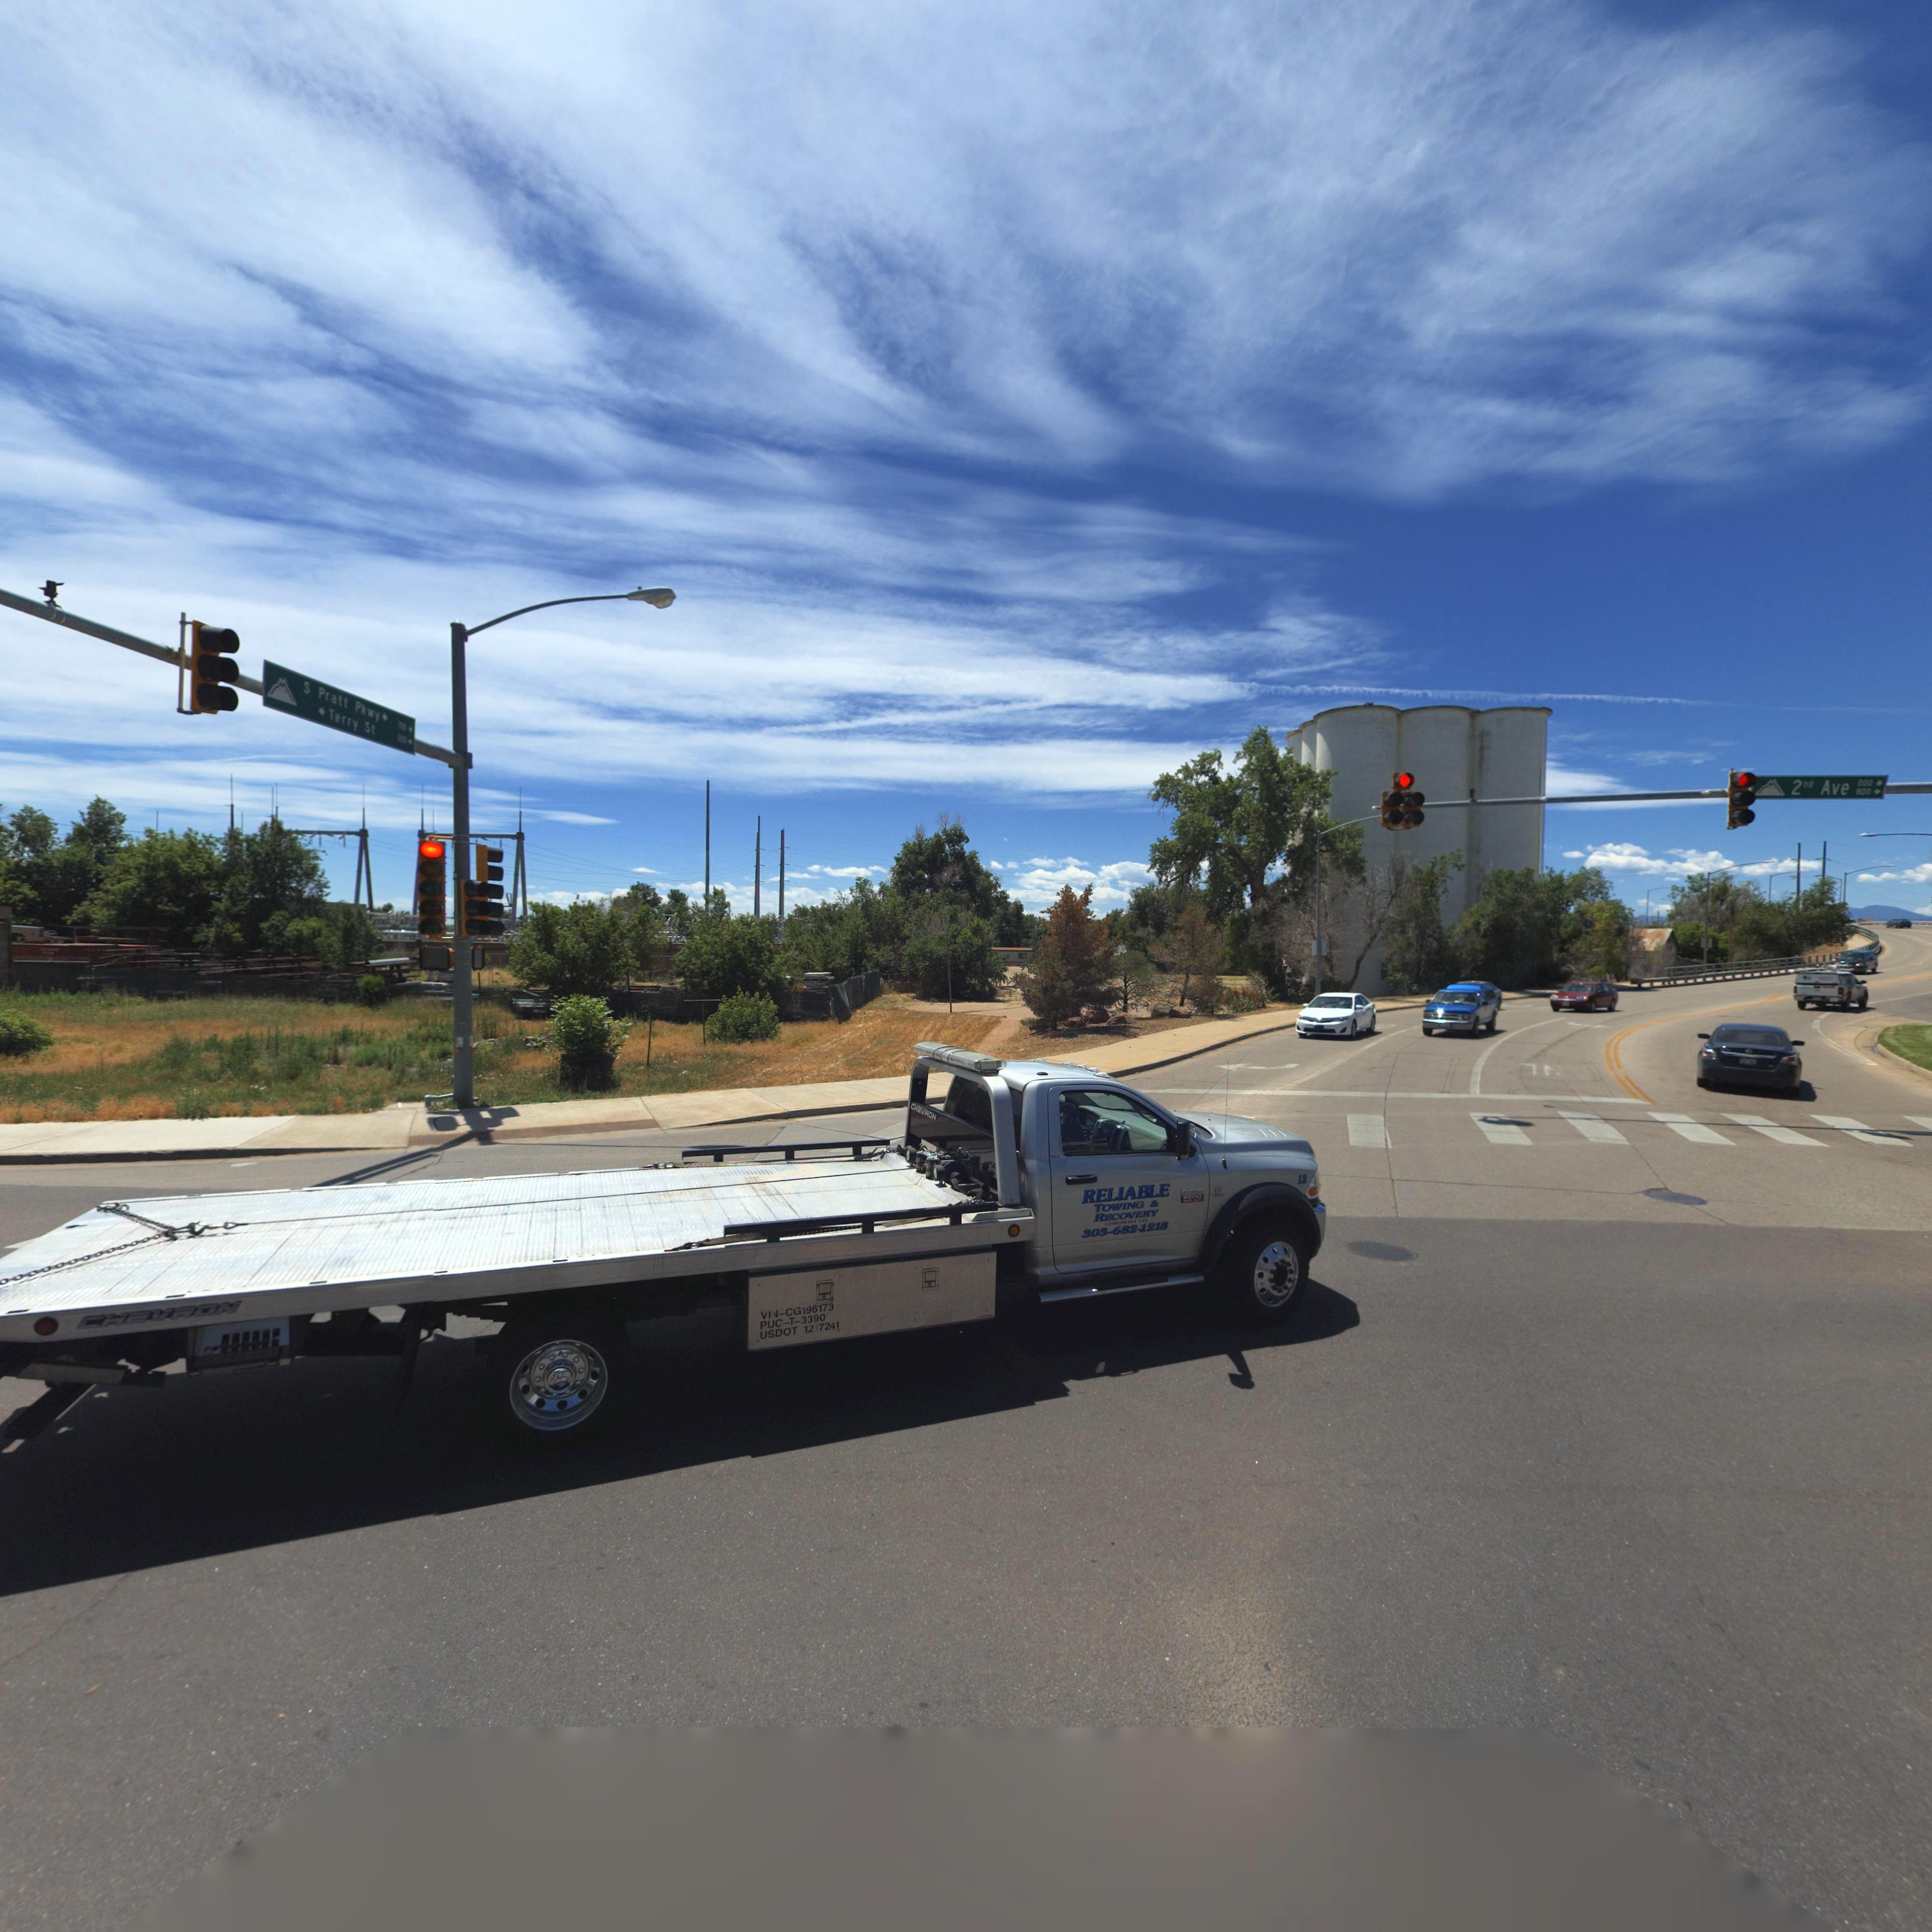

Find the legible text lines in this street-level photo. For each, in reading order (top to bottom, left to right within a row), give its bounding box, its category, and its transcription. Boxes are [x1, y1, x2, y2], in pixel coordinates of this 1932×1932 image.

[302, 681, 382, 724] StreetName: S Pratt Pkwy
[329, 707, 377, 735] StreetName: Terry St
[397, 720, 408, 731] StreetNumberRange: 700
[1790, 779, 1850, 796] StreetName: 2nd Ave
[1856, 778, 1874, 787] StreetNumberRange: 000
[1855, 787, 1882, 795] StreetNumberRange: 800->